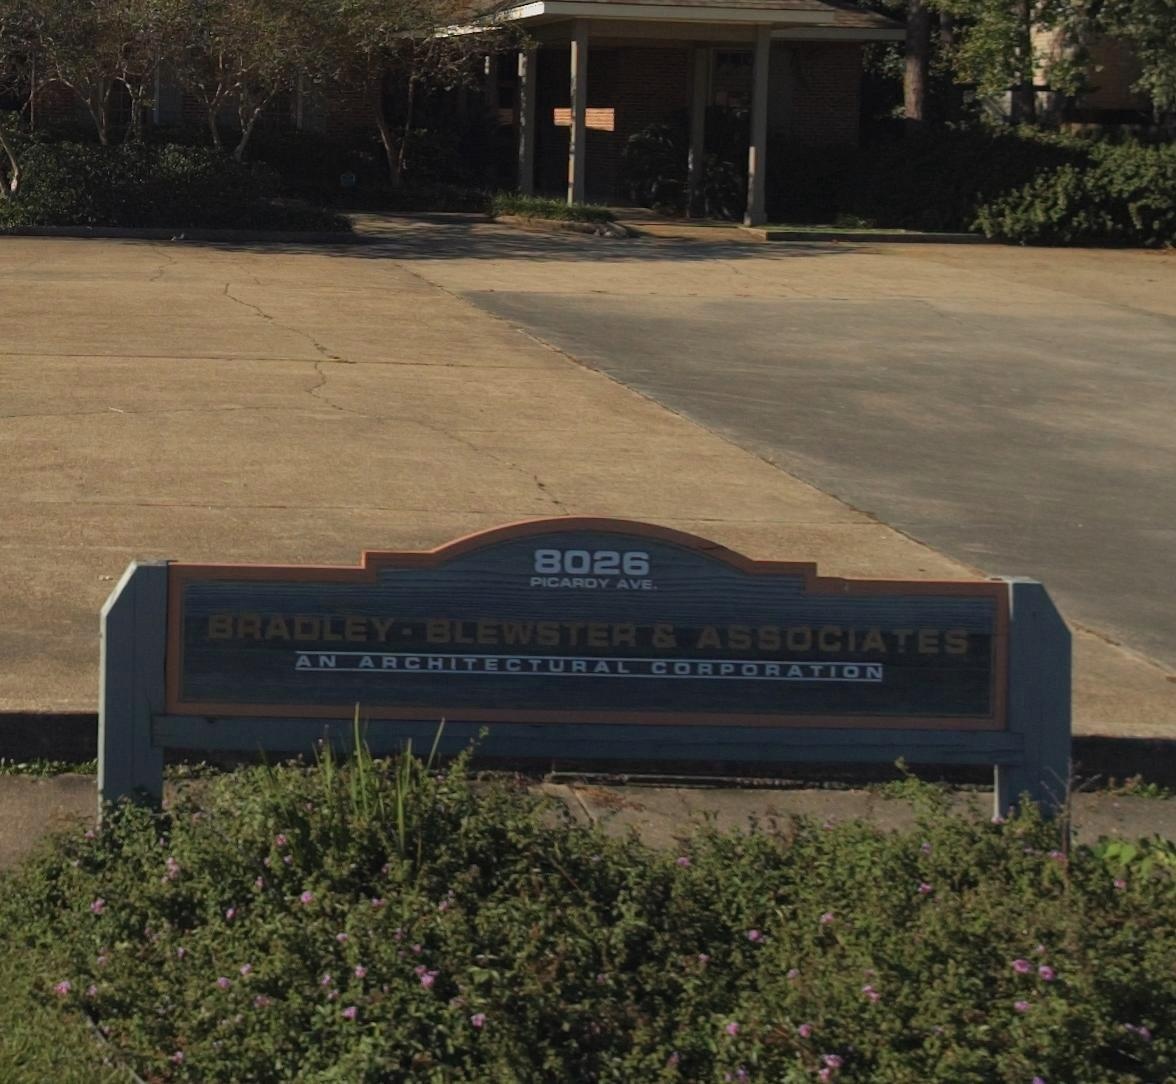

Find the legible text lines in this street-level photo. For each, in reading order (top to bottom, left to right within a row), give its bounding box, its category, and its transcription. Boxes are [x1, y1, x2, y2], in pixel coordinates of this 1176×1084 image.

[533, 548, 650, 576] StreetNumber: 8026
[529, 576, 659, 591] StreetName: PICARDY AVE.
[205, 612, 969, 656] BusinessName: BRADLEY-BLEWSTER & ASSOCIATES
[294, 654, 882, 679] BusinessName: AN ARCHITECTURAL CORPORATION